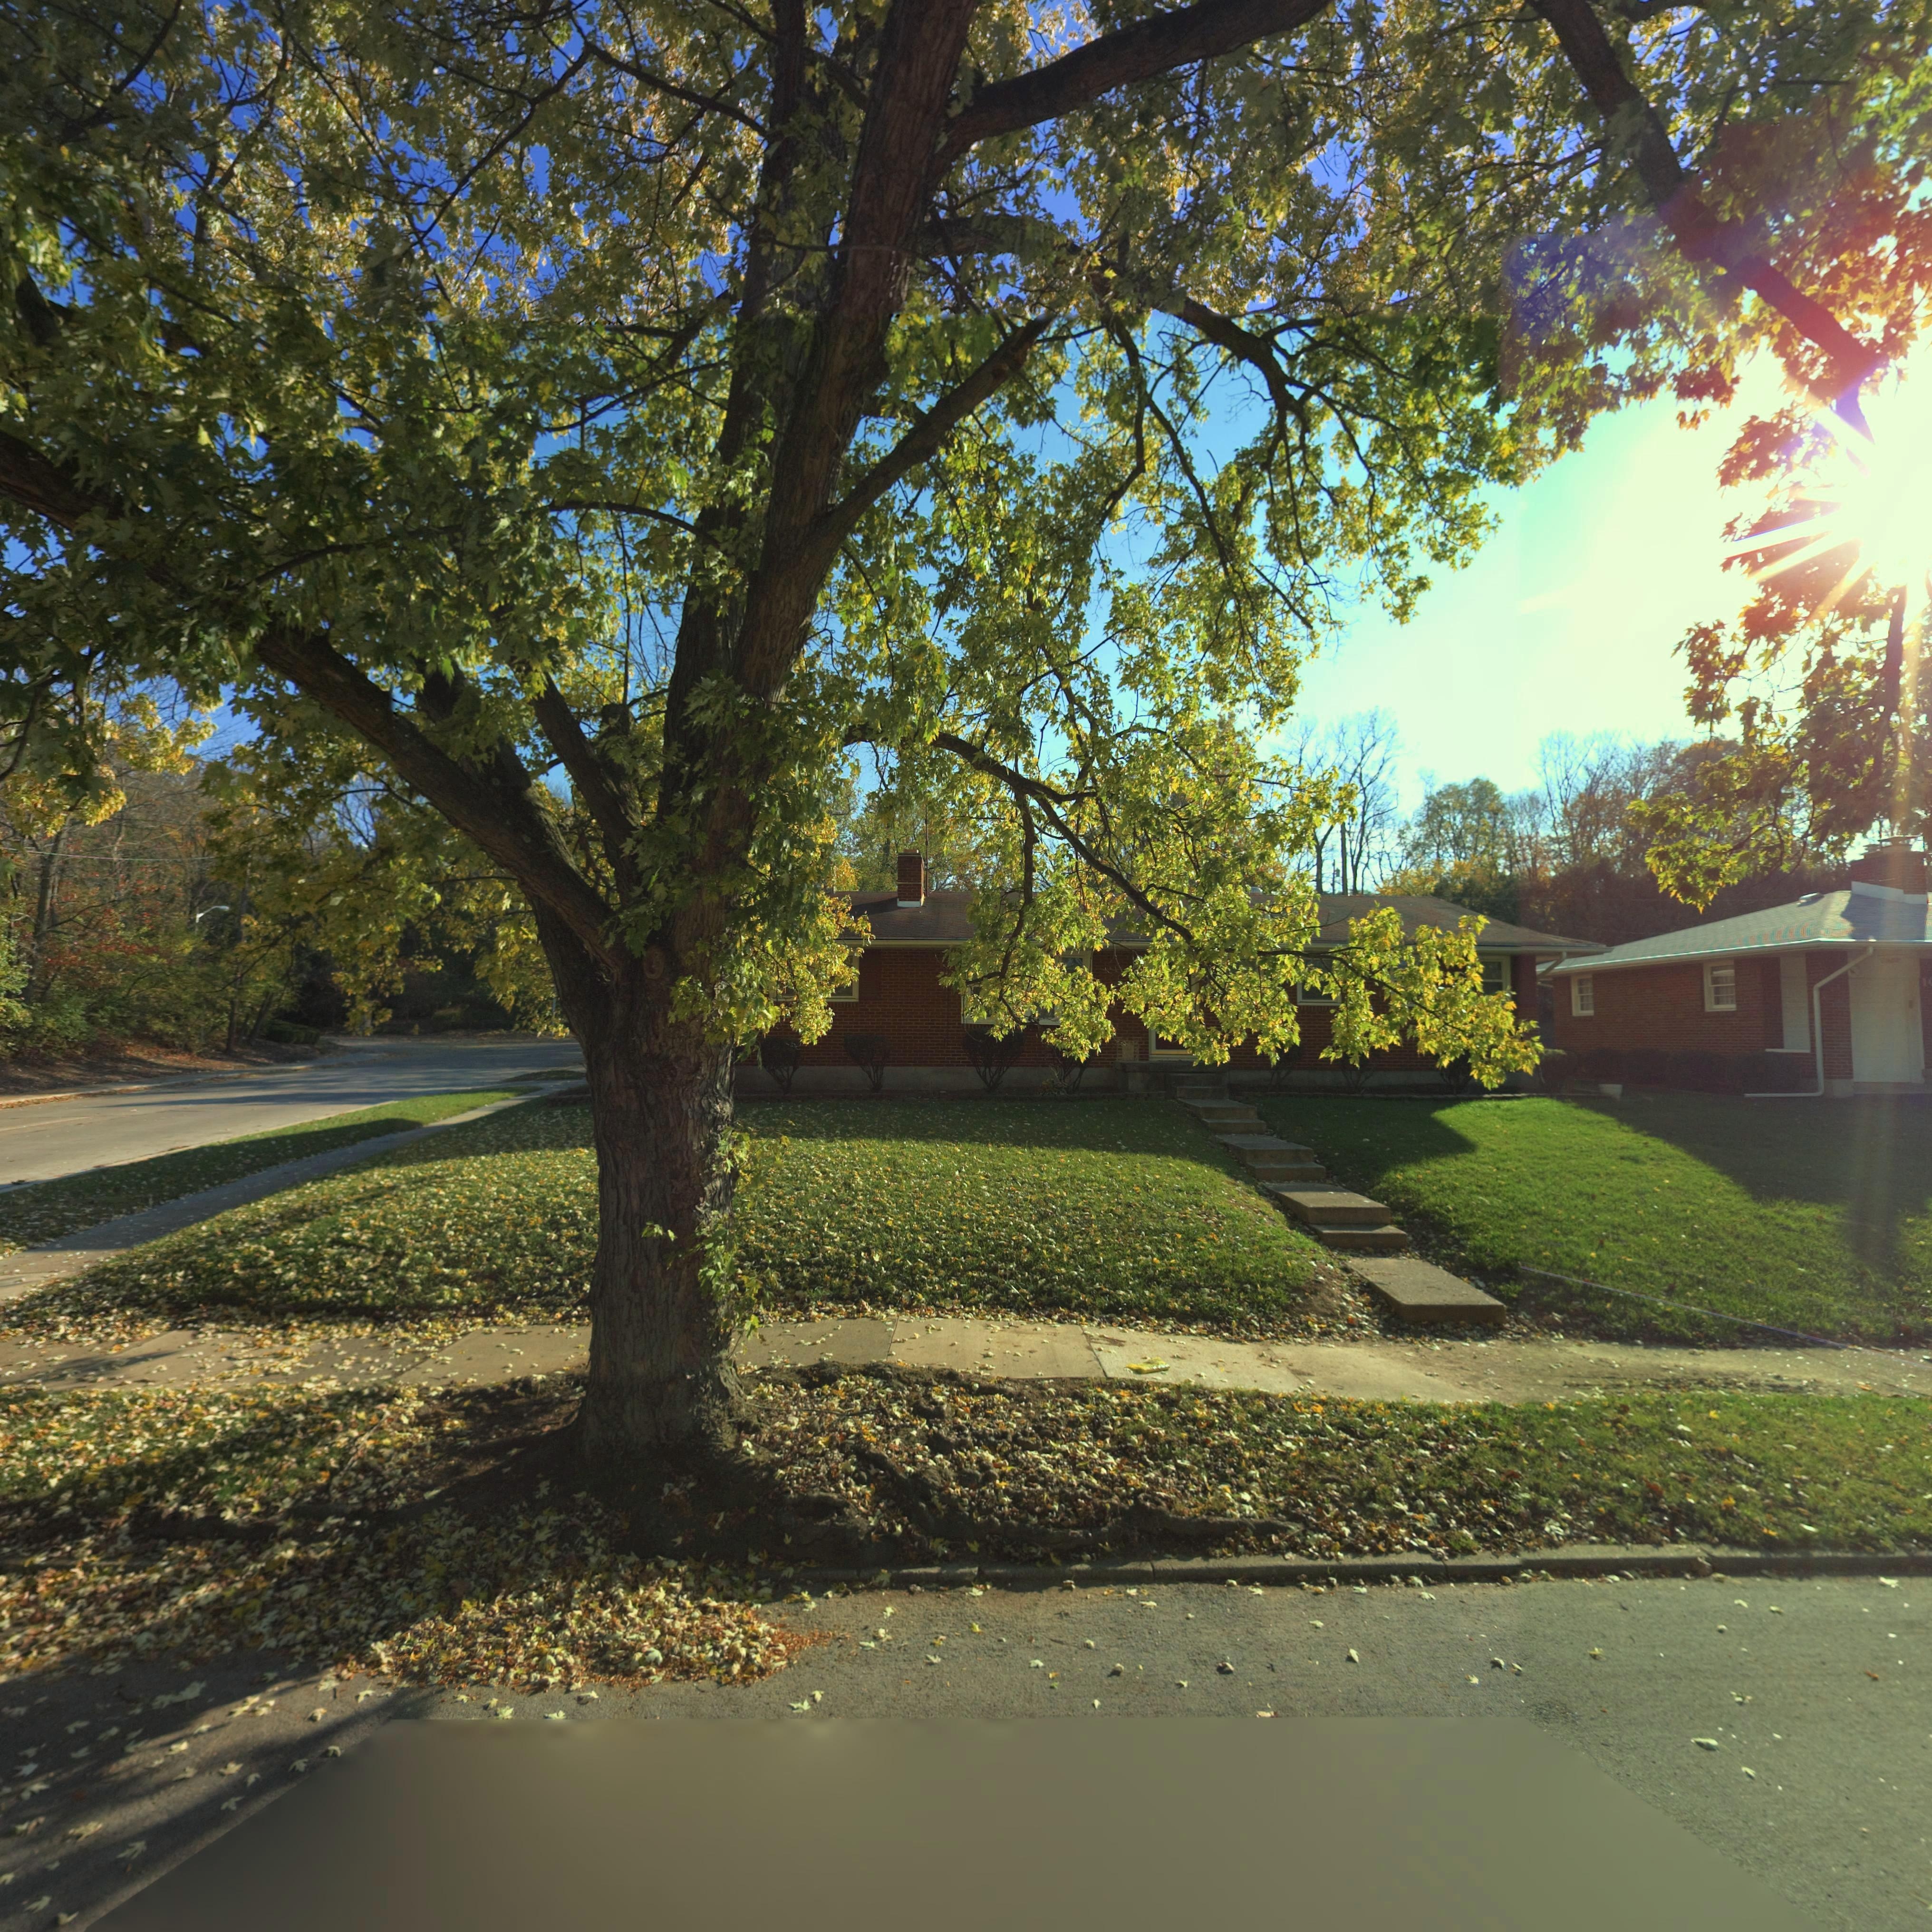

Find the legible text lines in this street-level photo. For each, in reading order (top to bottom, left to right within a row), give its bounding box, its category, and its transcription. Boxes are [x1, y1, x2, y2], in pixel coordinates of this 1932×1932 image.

[1921, 977, 1927, 987] StreetNumber: 1